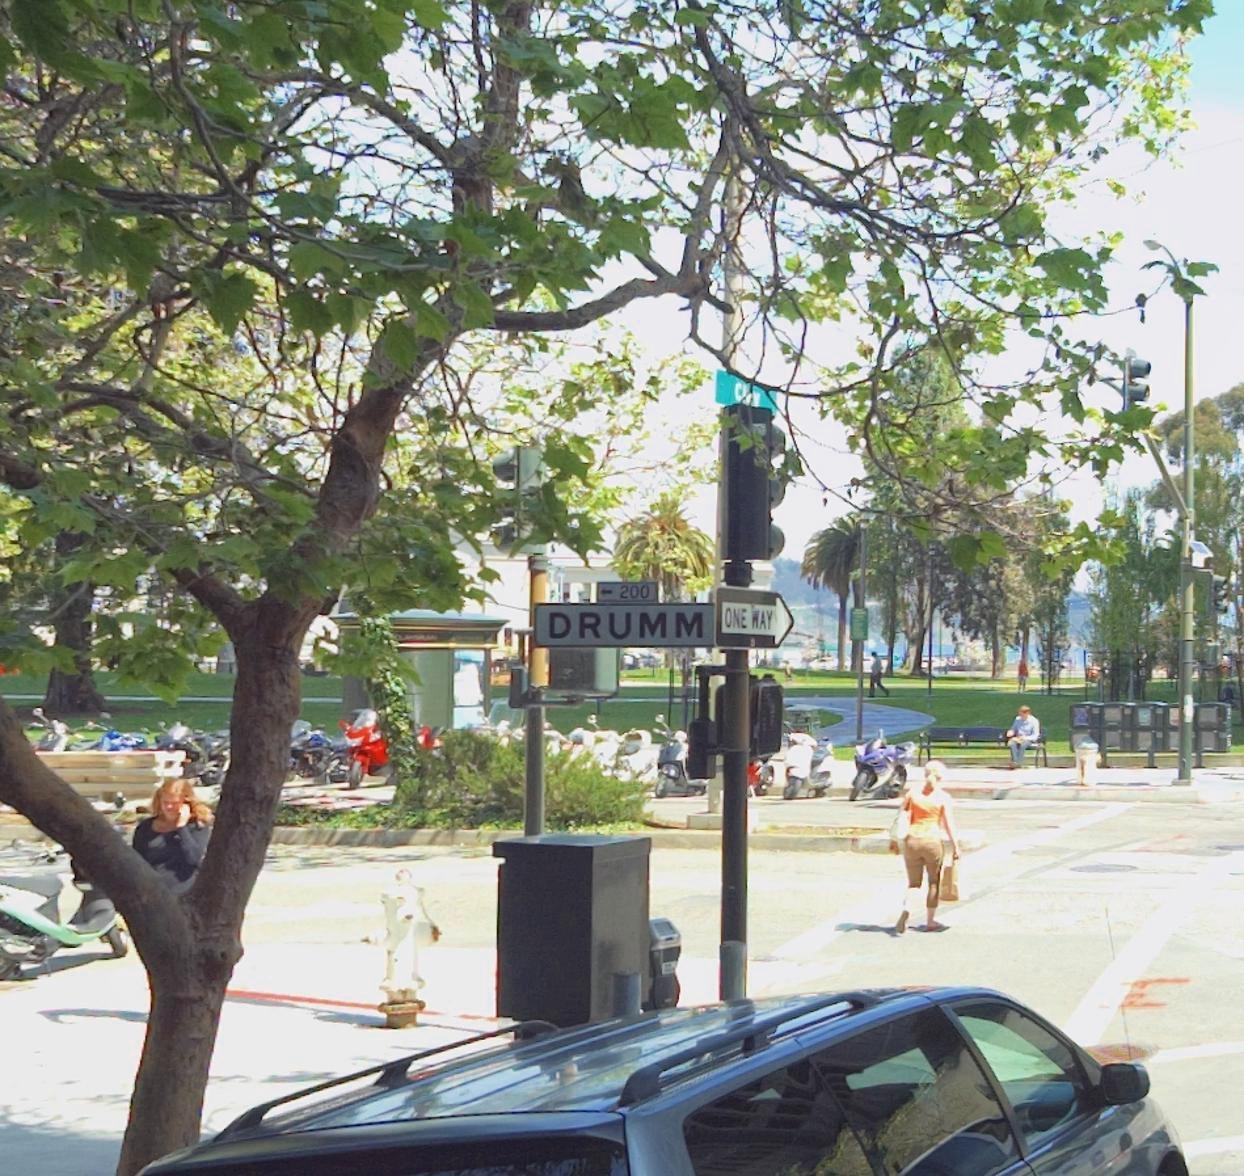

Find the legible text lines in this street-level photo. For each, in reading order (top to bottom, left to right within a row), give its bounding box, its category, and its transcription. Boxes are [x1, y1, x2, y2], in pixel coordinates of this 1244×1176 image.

[598, 583, 651, 600] StreetNumberRange: <-200
[547, 605, 705, 643] StreetName: DRUMM
[724, 606, 775, 631] None: ONE WAY